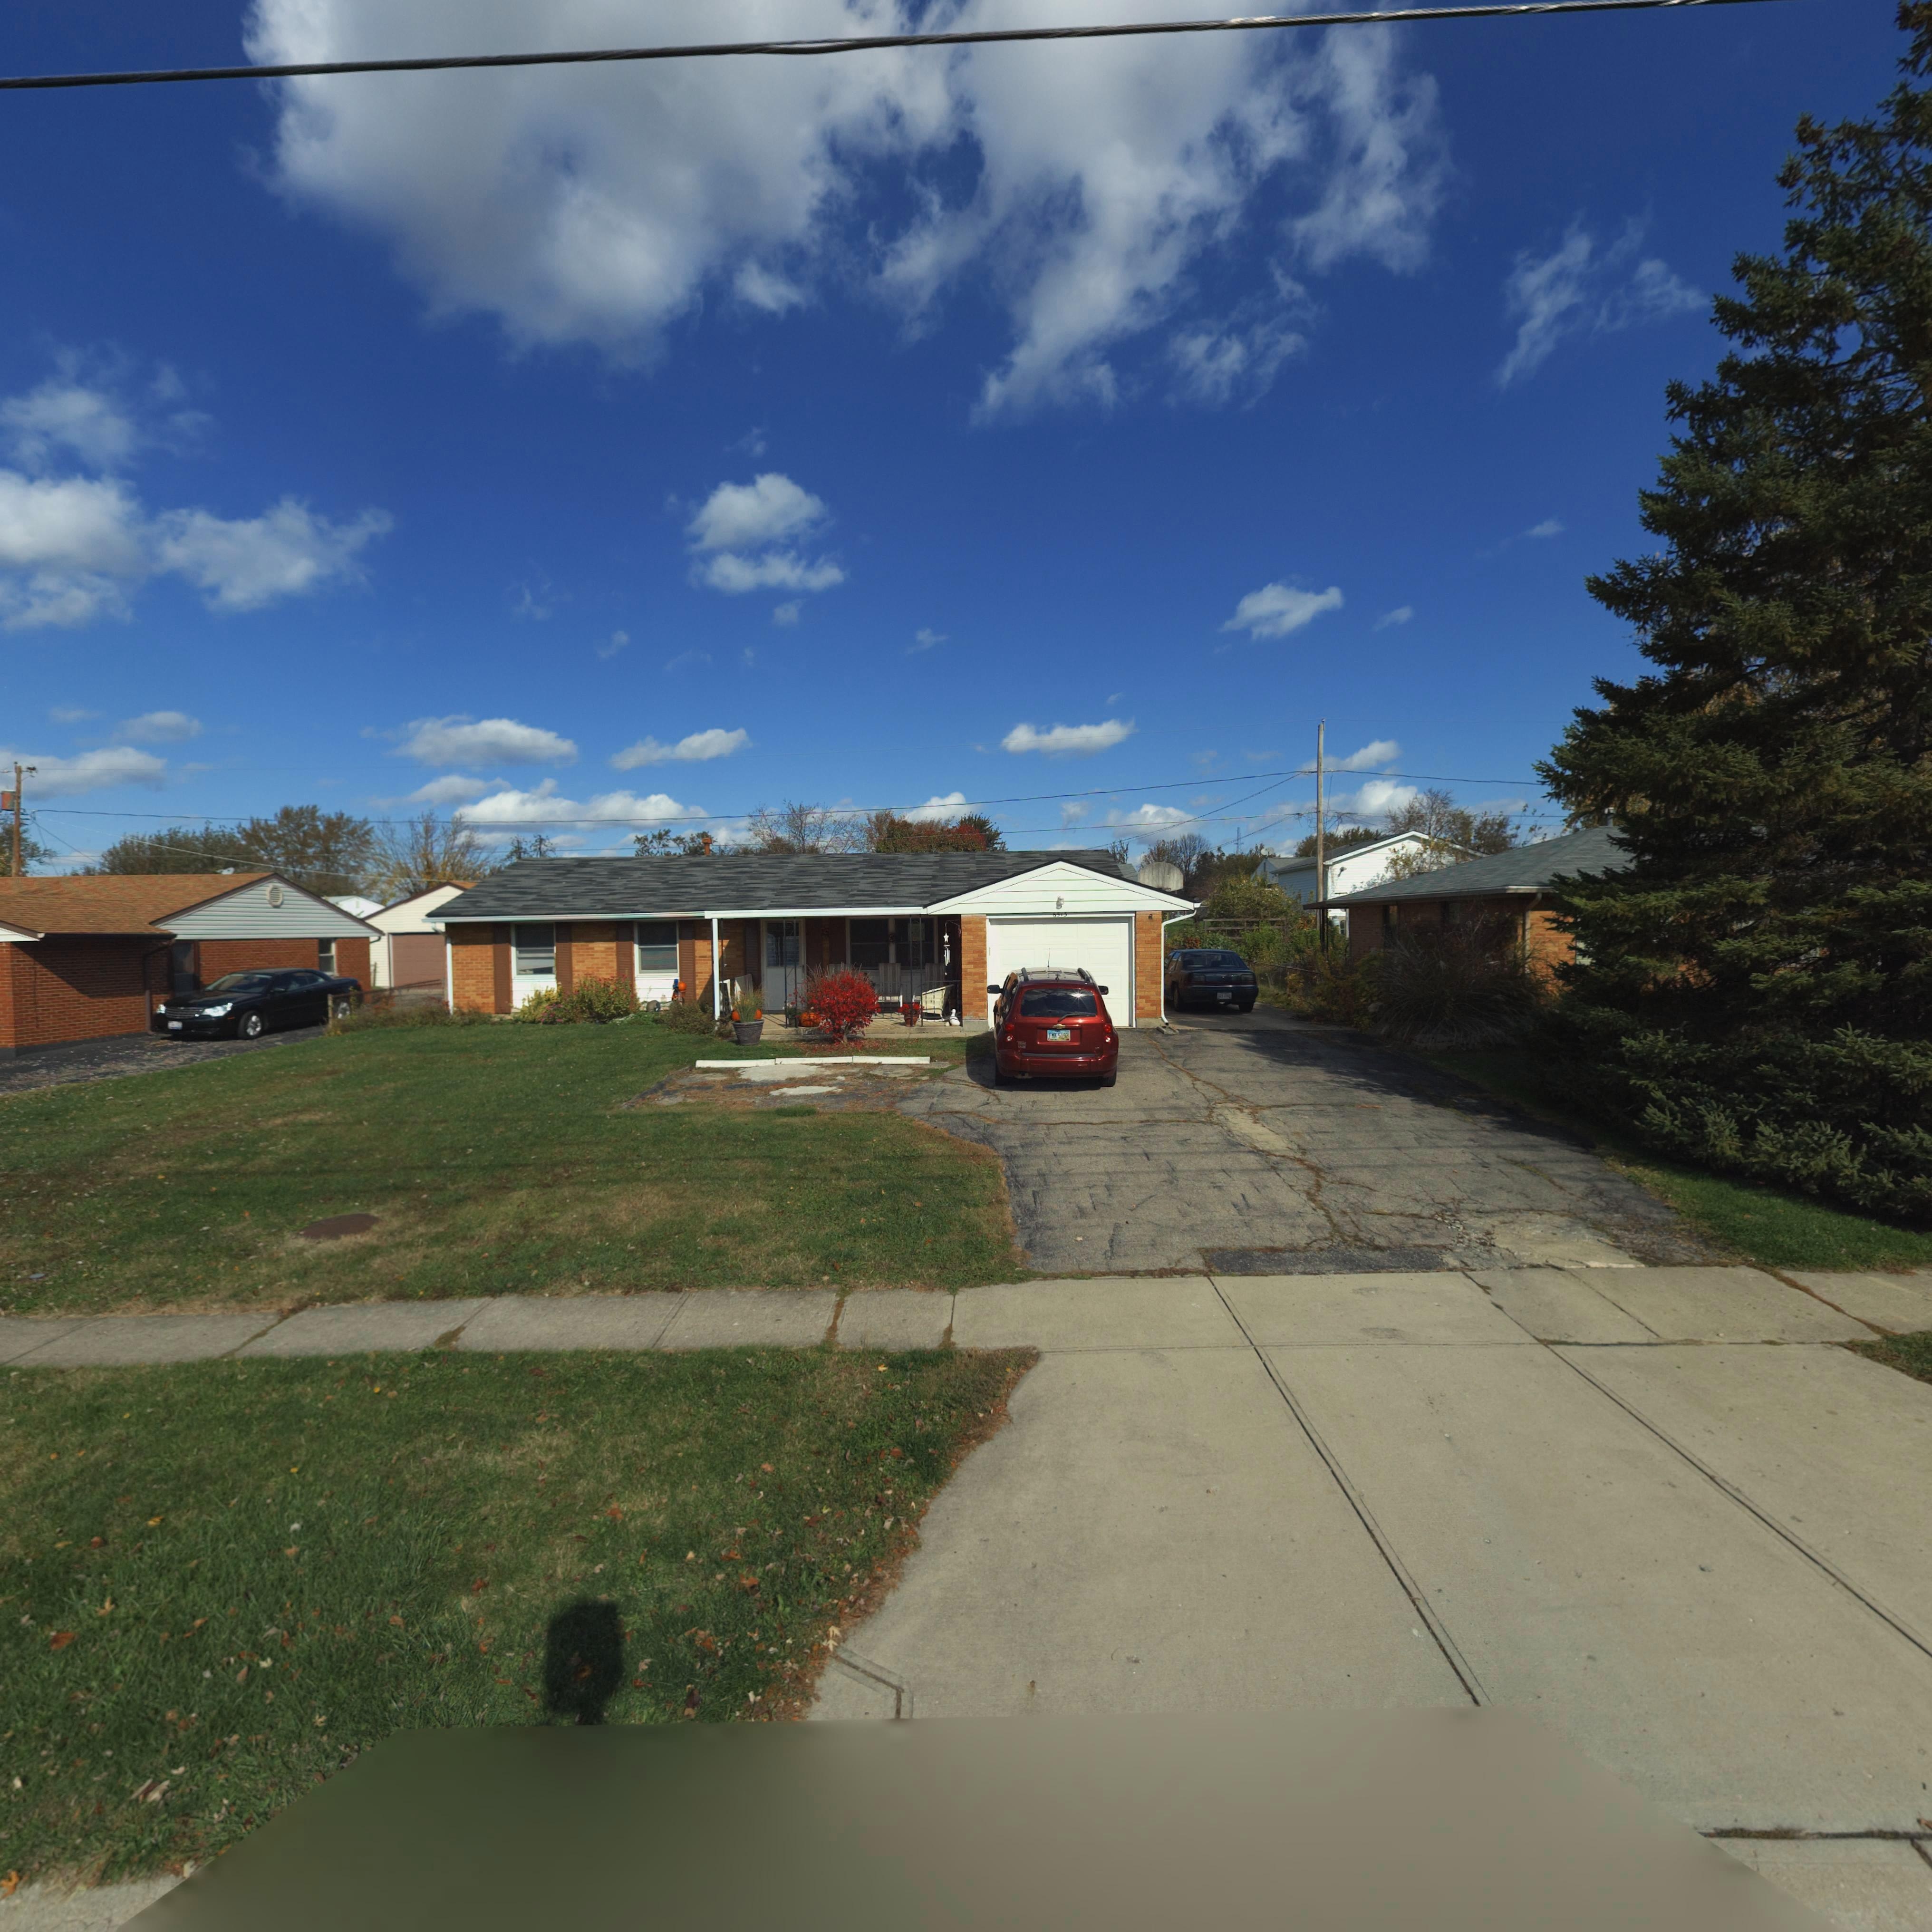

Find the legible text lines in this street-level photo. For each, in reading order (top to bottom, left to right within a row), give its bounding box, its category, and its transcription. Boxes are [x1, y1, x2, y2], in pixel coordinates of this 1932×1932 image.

[1052, 912, 1068, 918] StreetNumber: 6513